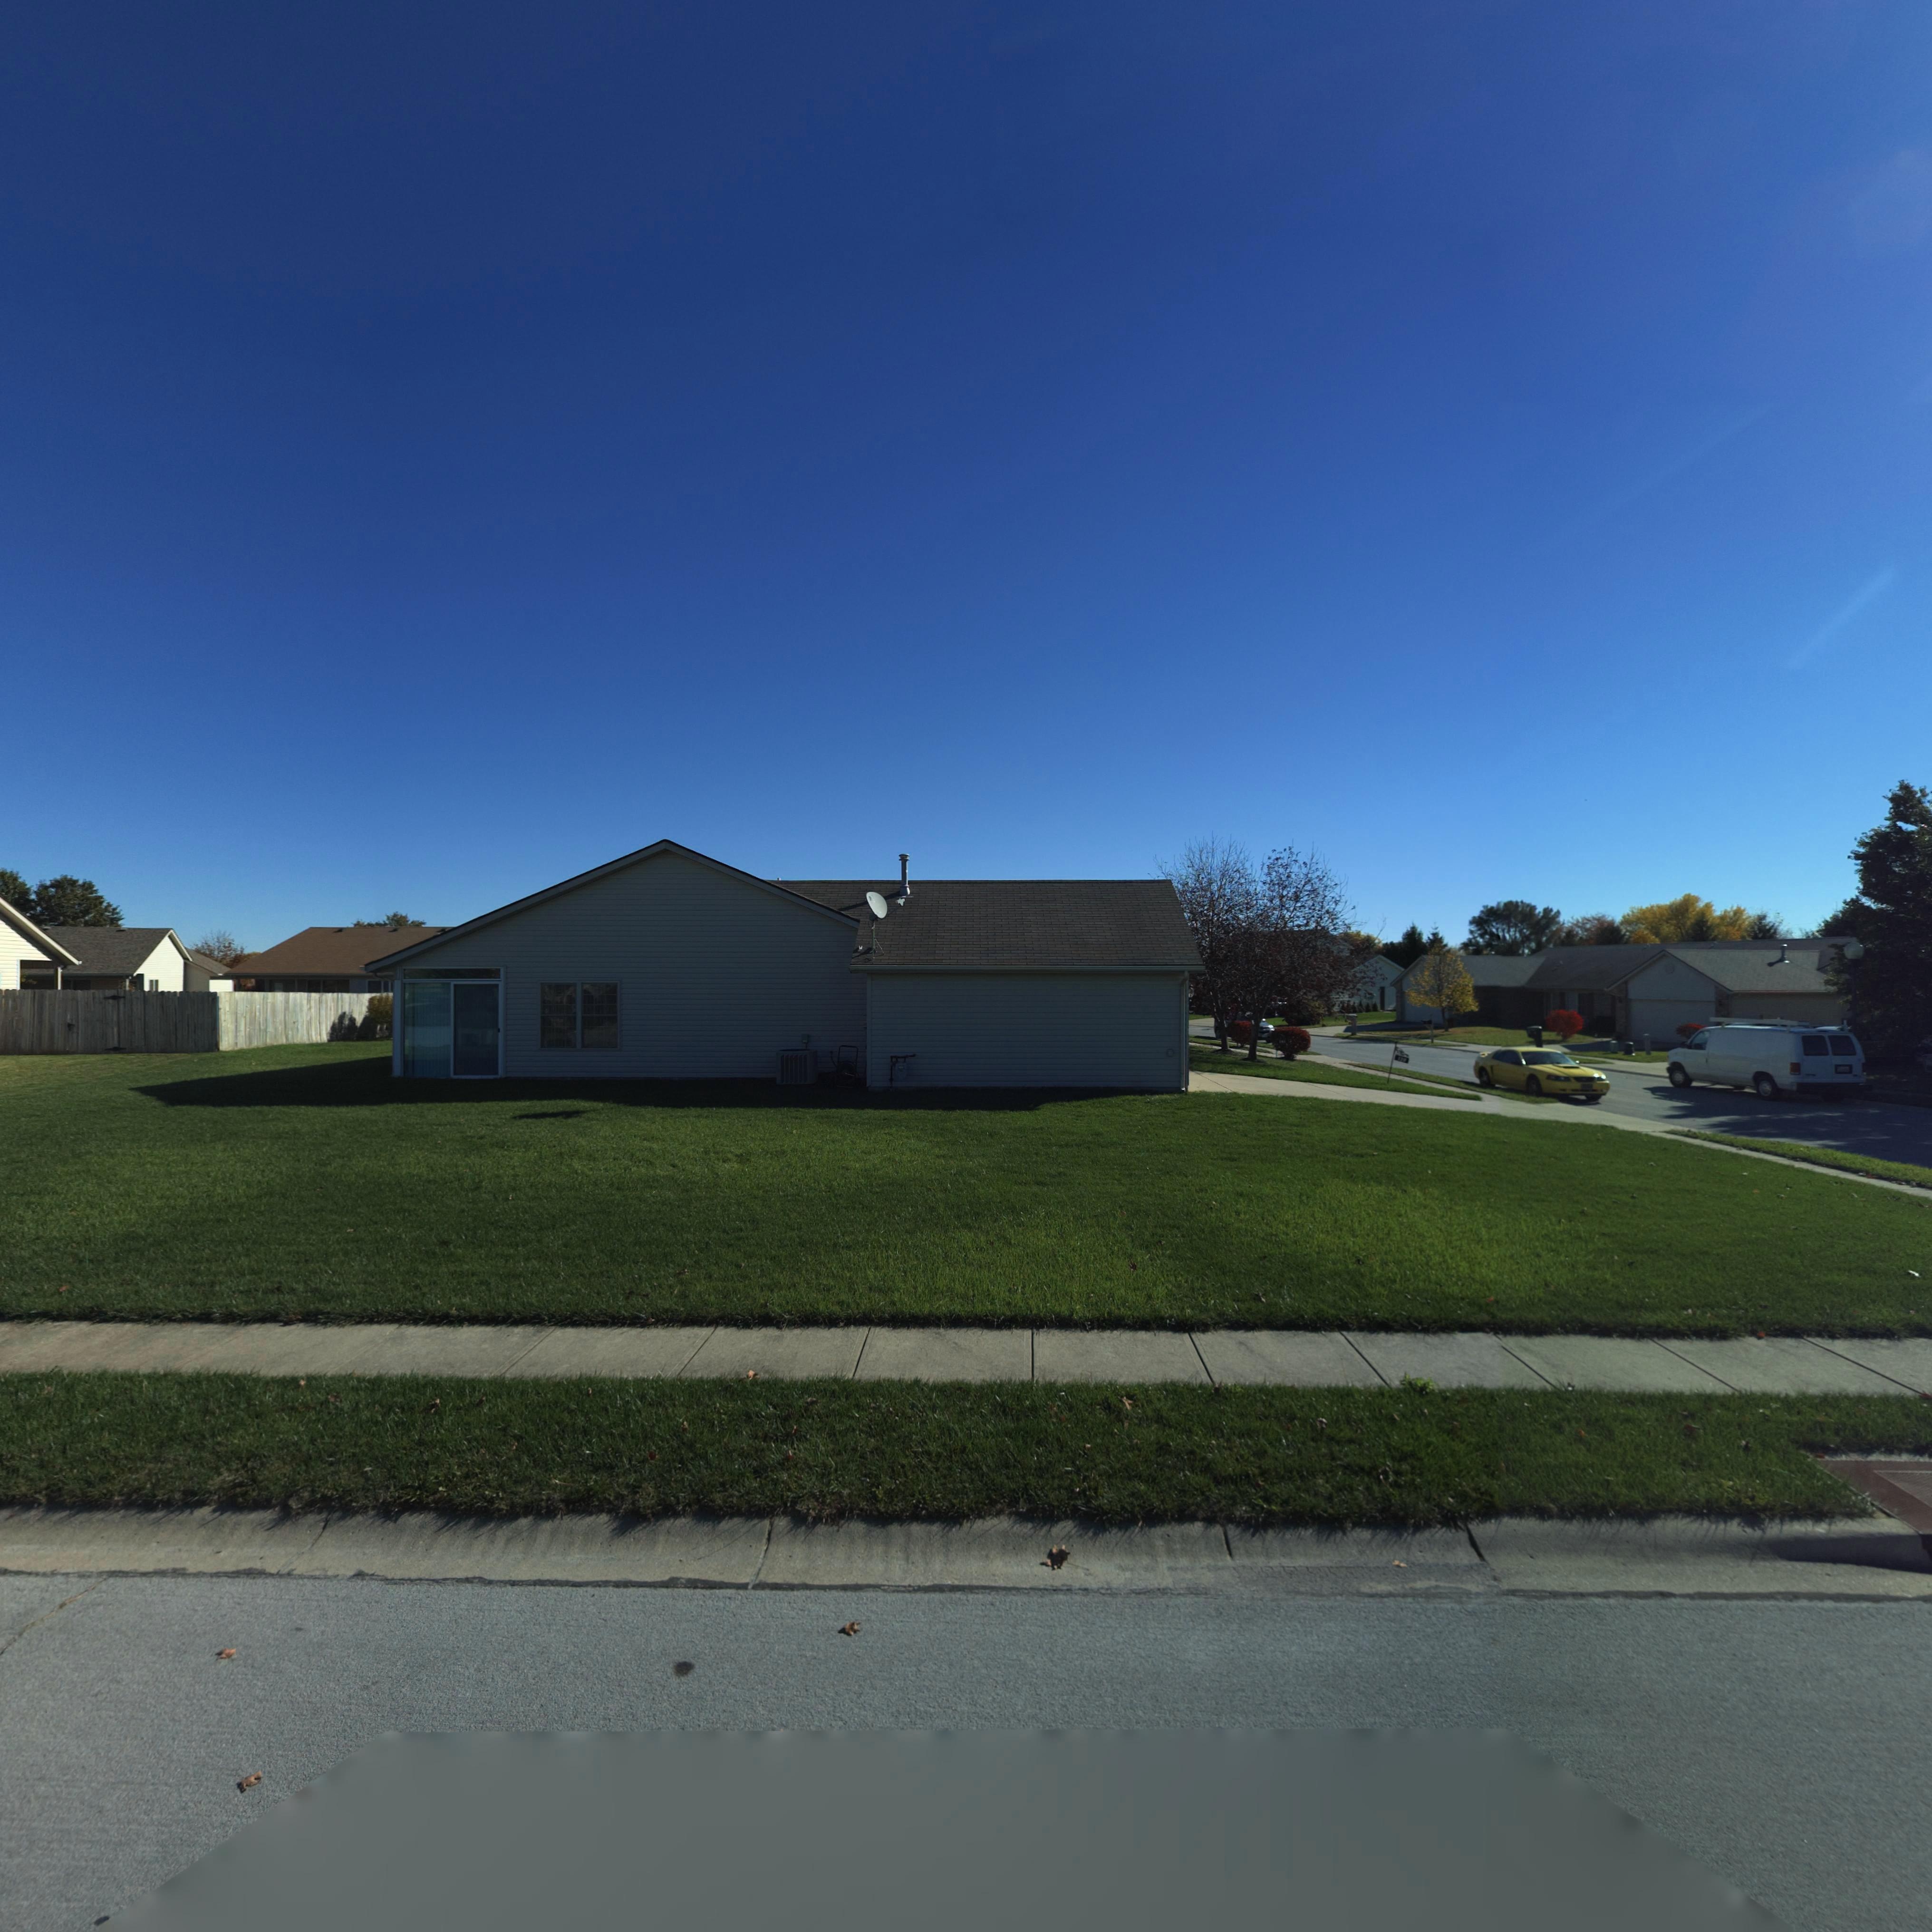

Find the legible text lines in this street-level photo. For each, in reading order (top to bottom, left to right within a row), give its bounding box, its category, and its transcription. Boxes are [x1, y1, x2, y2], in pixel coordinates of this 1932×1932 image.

[1279, 1040, 1286, 1044] StreetNumber: 1*1
[1396, 1056, 1408, 1063] StreetNumber: 1*9